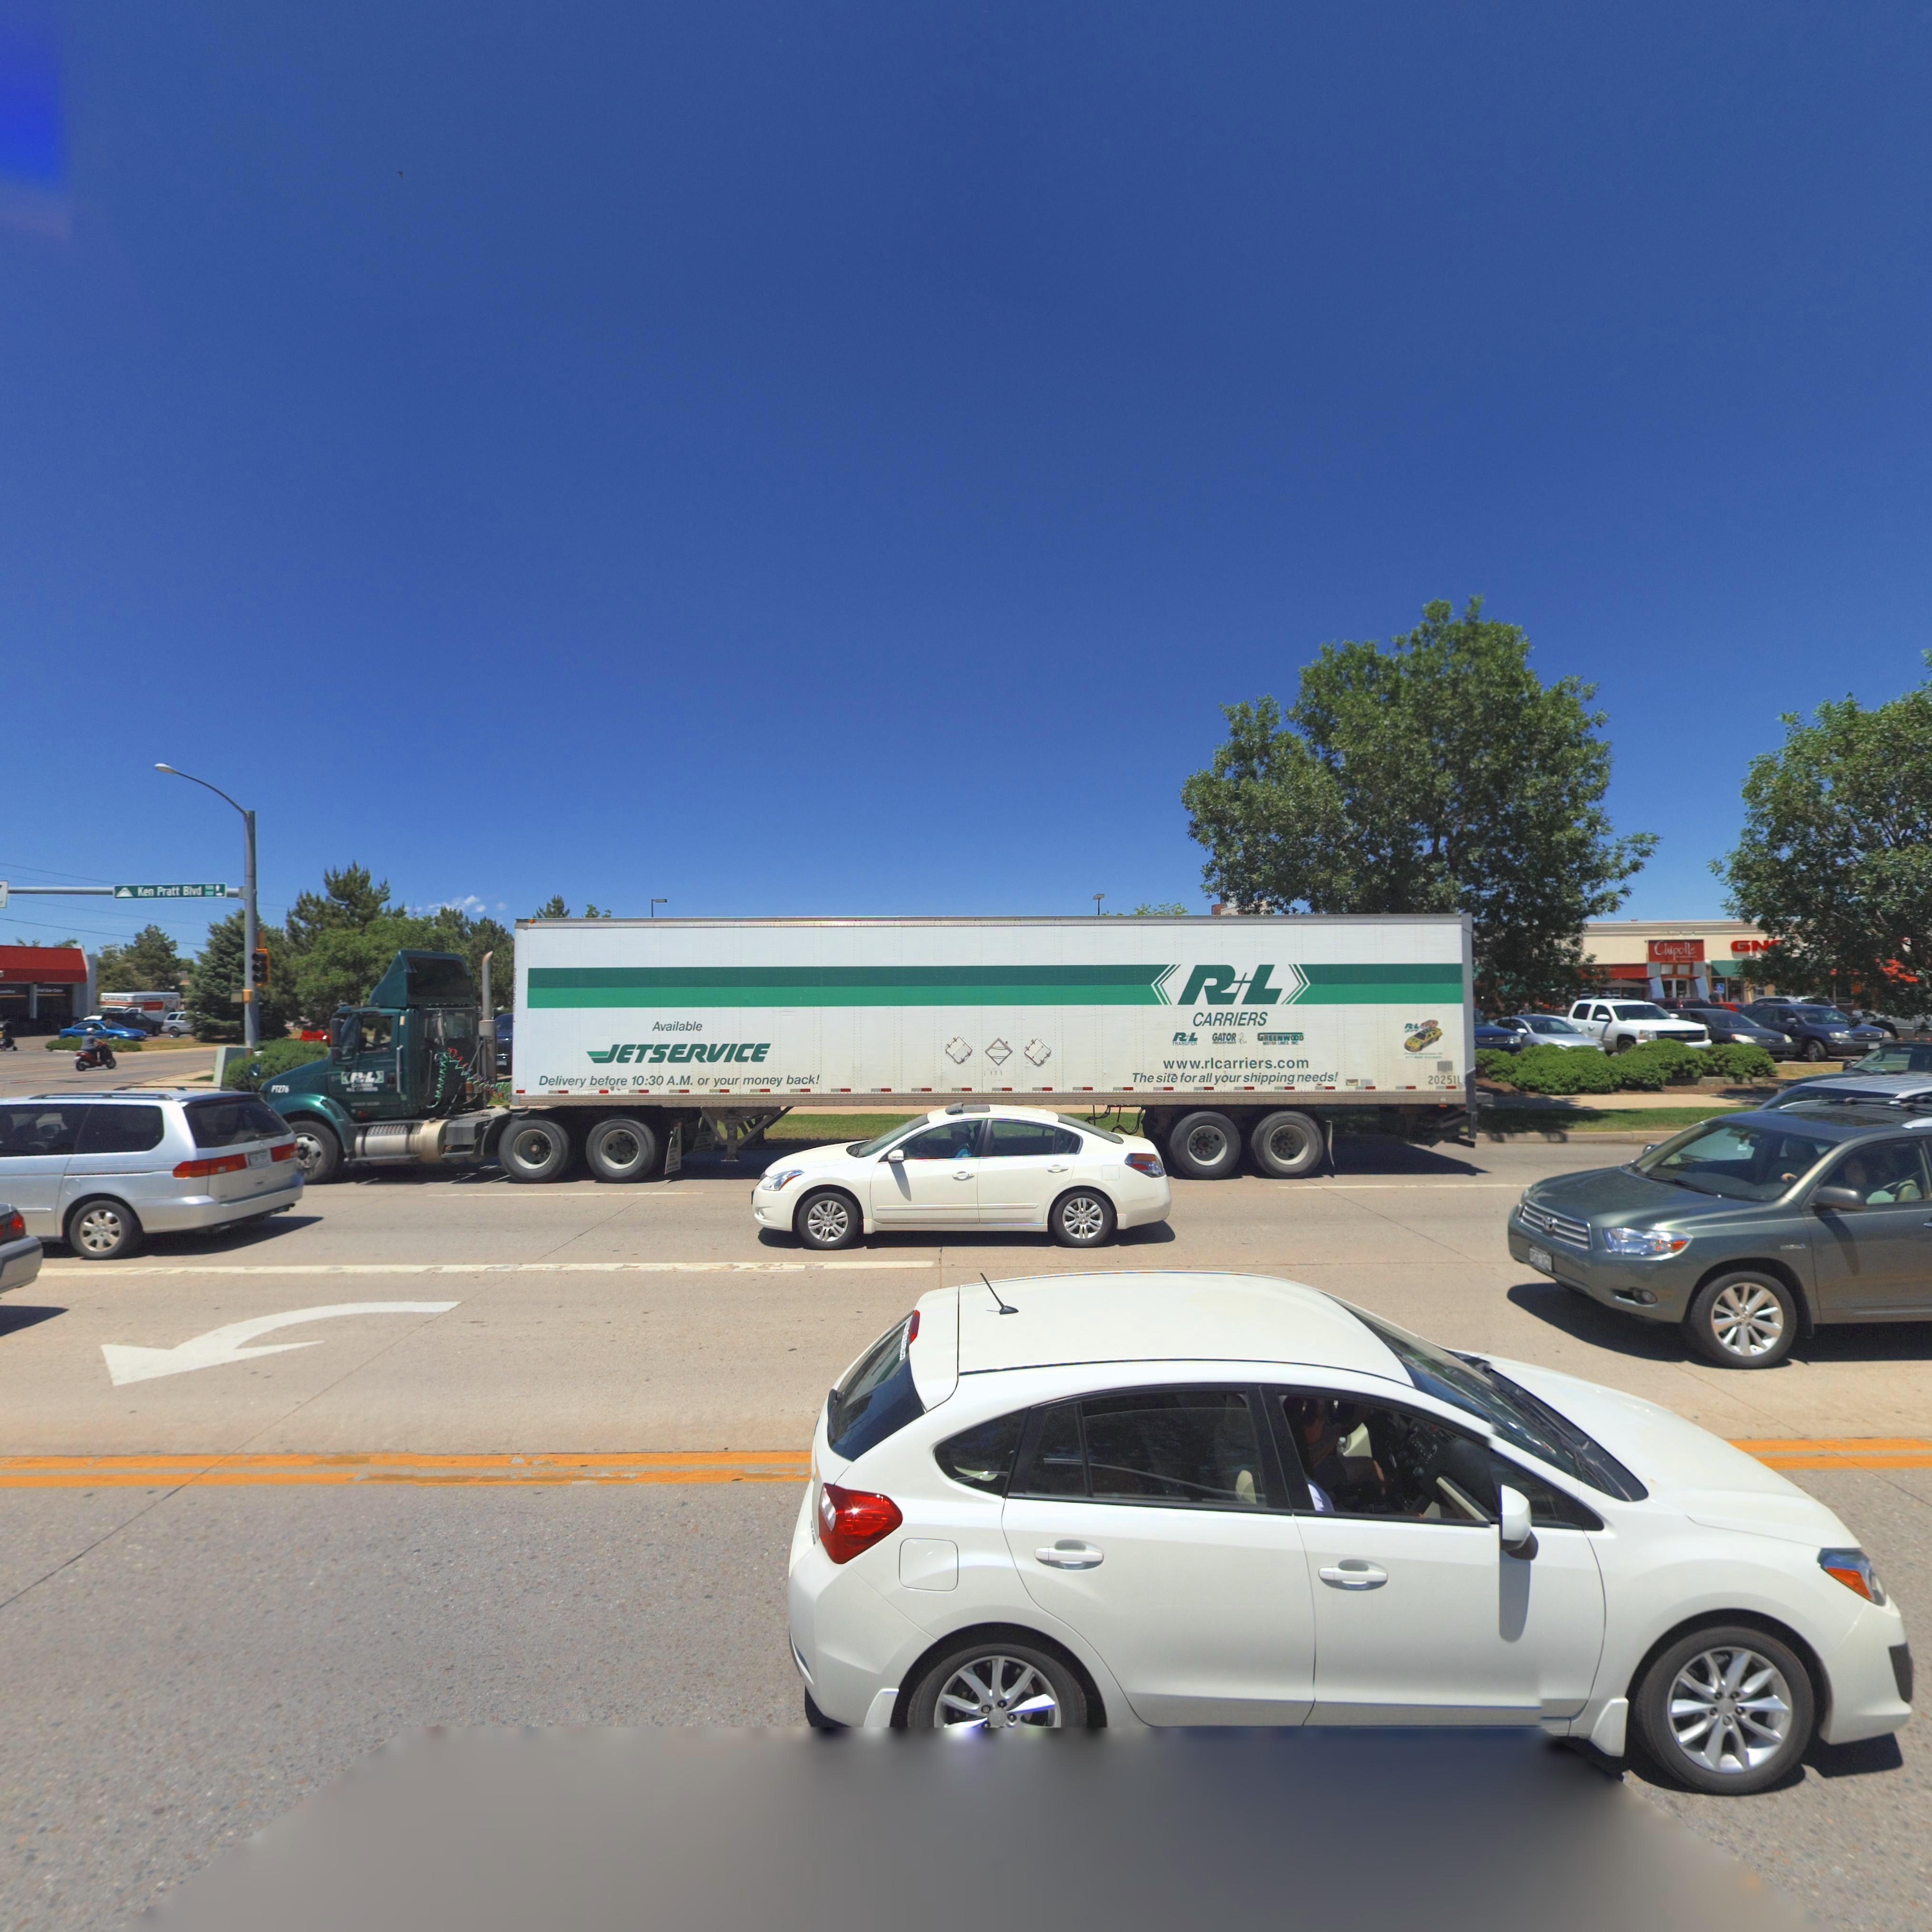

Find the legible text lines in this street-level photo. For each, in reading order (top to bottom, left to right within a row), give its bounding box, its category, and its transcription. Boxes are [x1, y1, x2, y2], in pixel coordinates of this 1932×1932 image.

[137, 885, 202, 897] BusinessName: Ken Pratt Blvd
[204, 884, 214, 890] StreetNumberRange: 500
[204, 890, 224, 896] SecondaryUnitDesignator: 1*00->
[1653, 939, 1696, 960] BusinessName: Chipotle
[1730, 939, 1786, 952] BusinessName: GN*